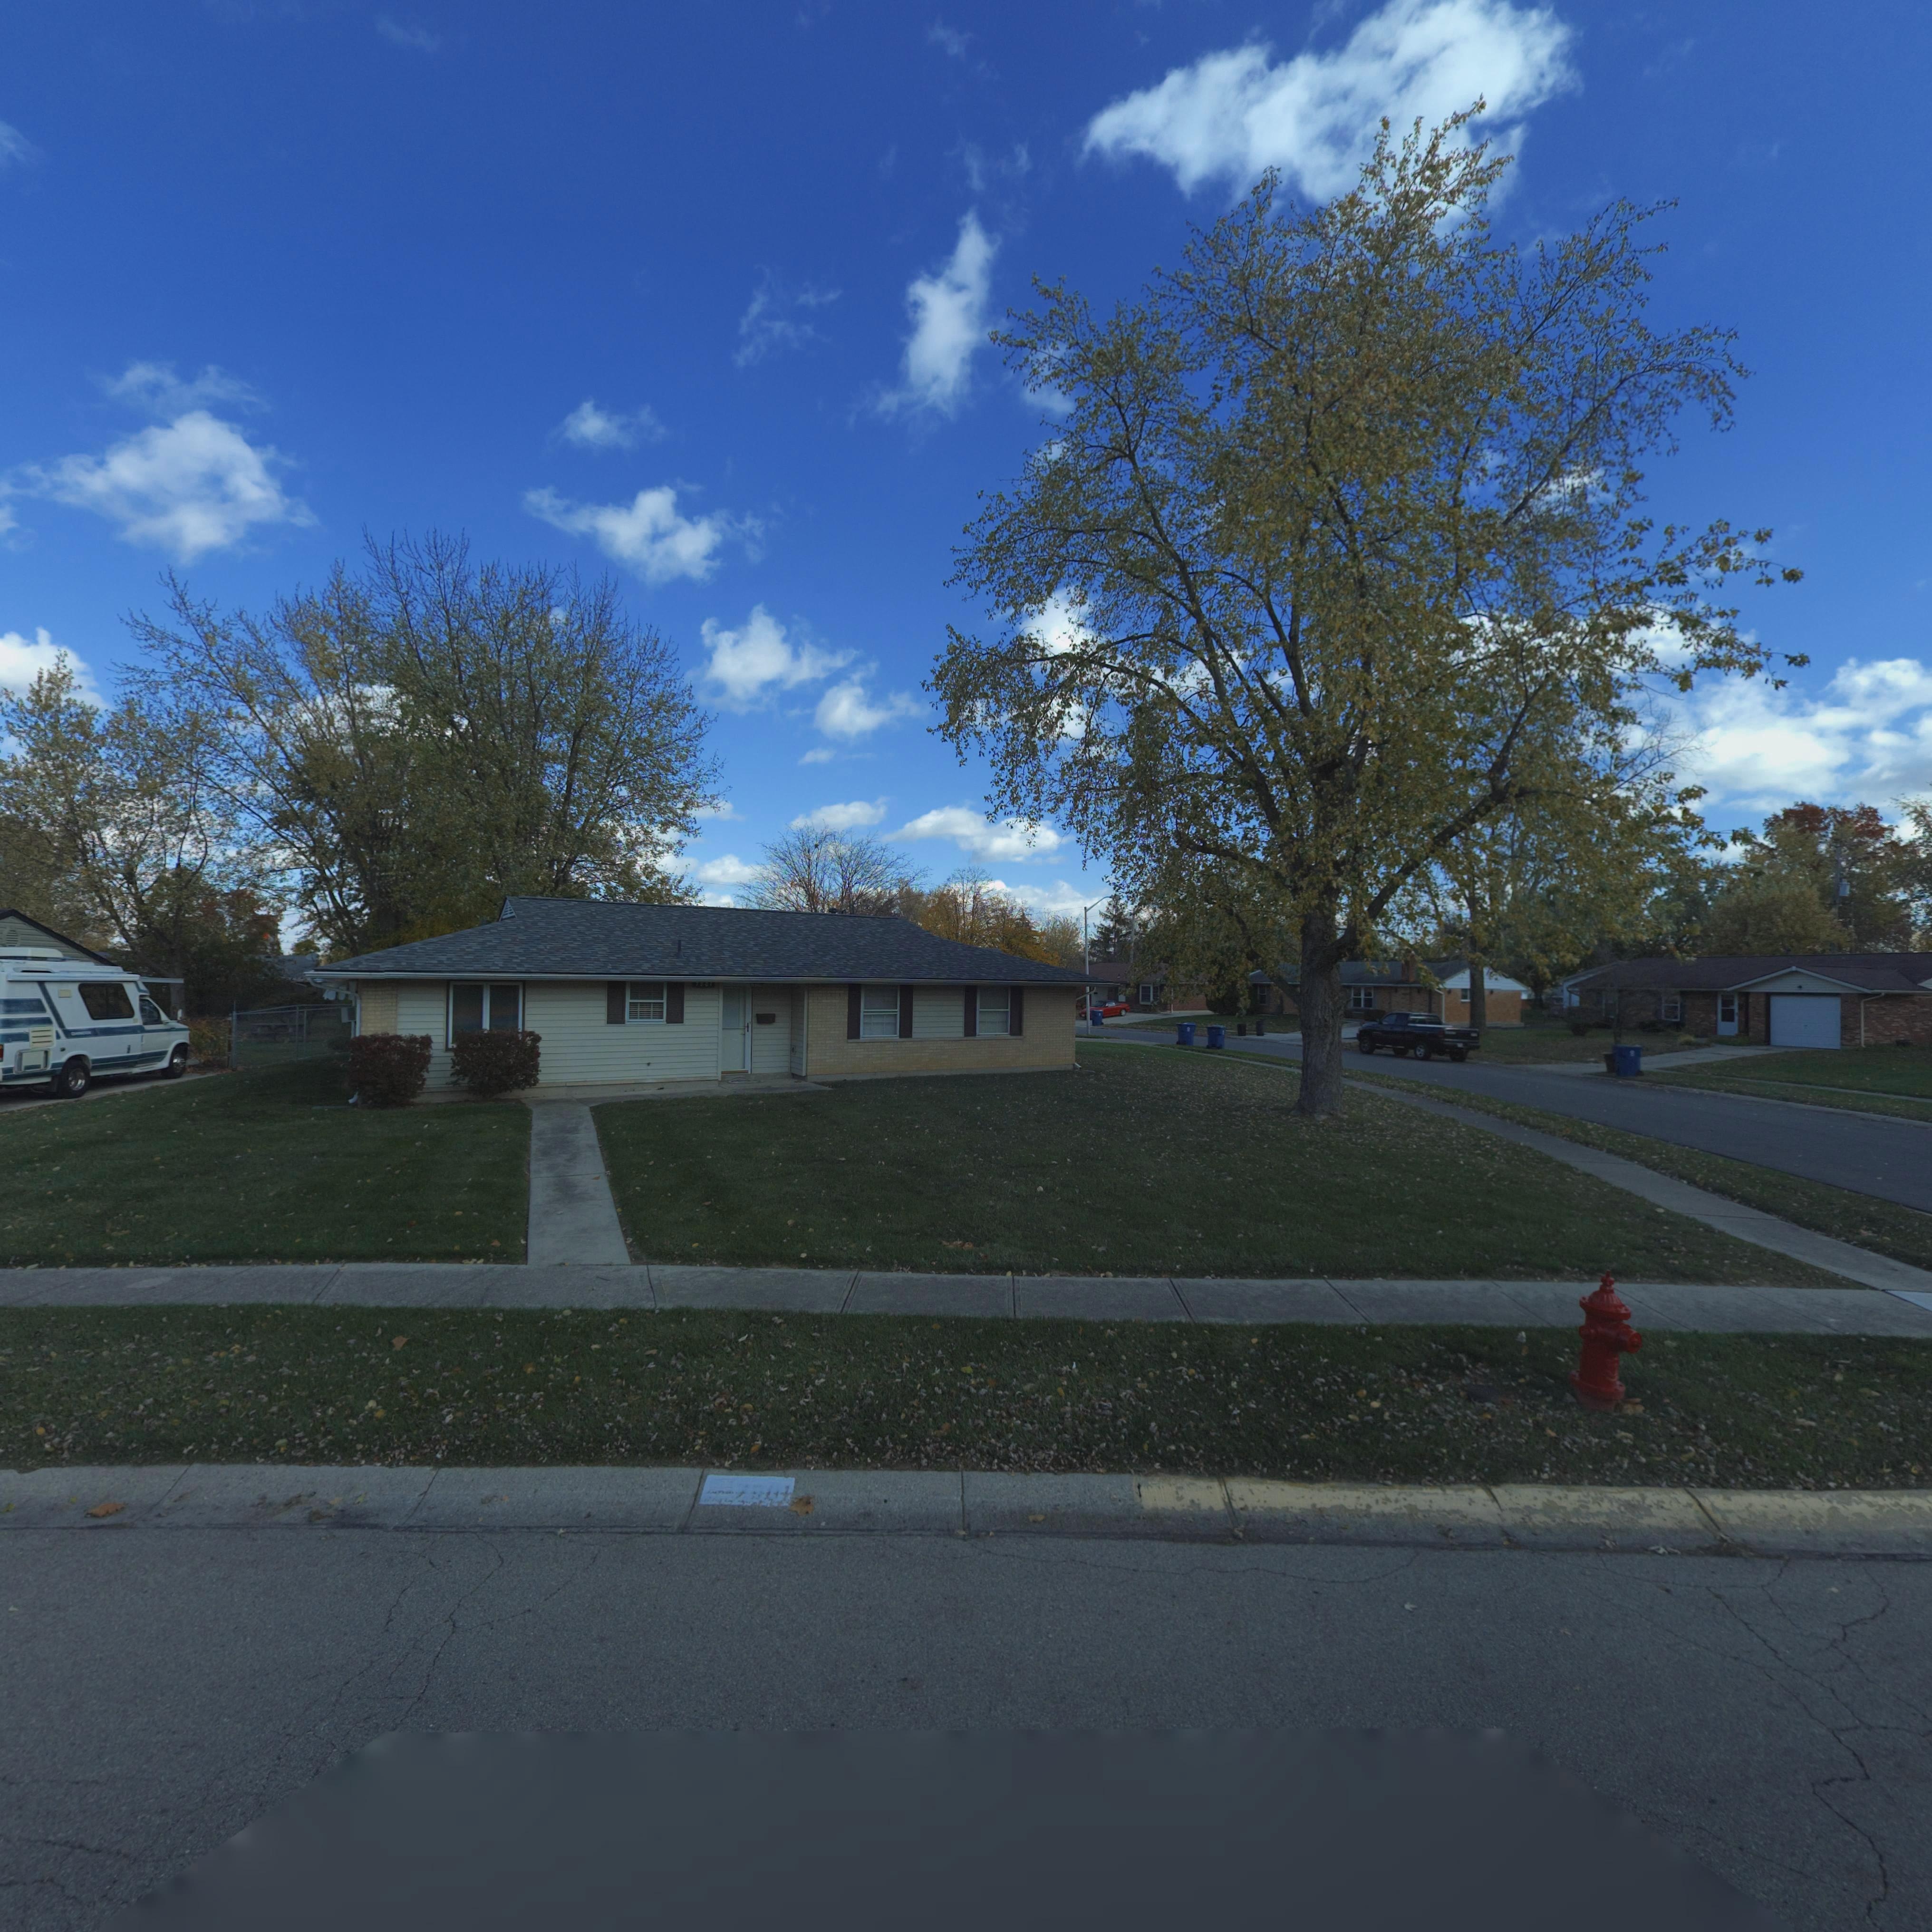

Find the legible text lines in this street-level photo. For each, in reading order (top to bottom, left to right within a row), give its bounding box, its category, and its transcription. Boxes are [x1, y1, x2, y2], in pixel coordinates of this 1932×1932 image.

[695, 981, 713, 987] StreetNumber: 780*